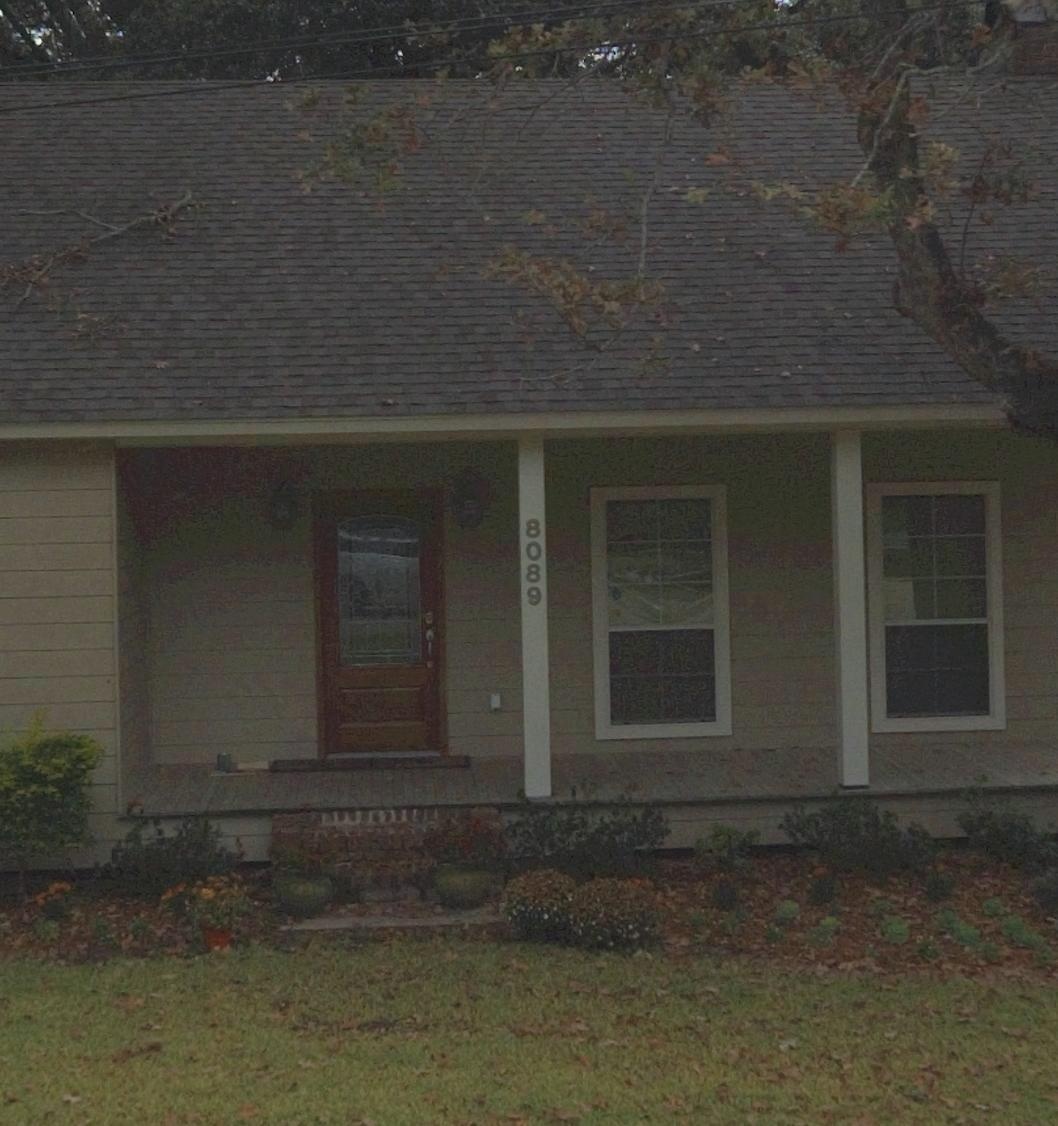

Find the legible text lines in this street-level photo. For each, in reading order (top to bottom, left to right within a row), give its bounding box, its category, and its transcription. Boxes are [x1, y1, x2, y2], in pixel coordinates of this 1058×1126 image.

[523, 517, 543, 607] StreetNumber: 8089